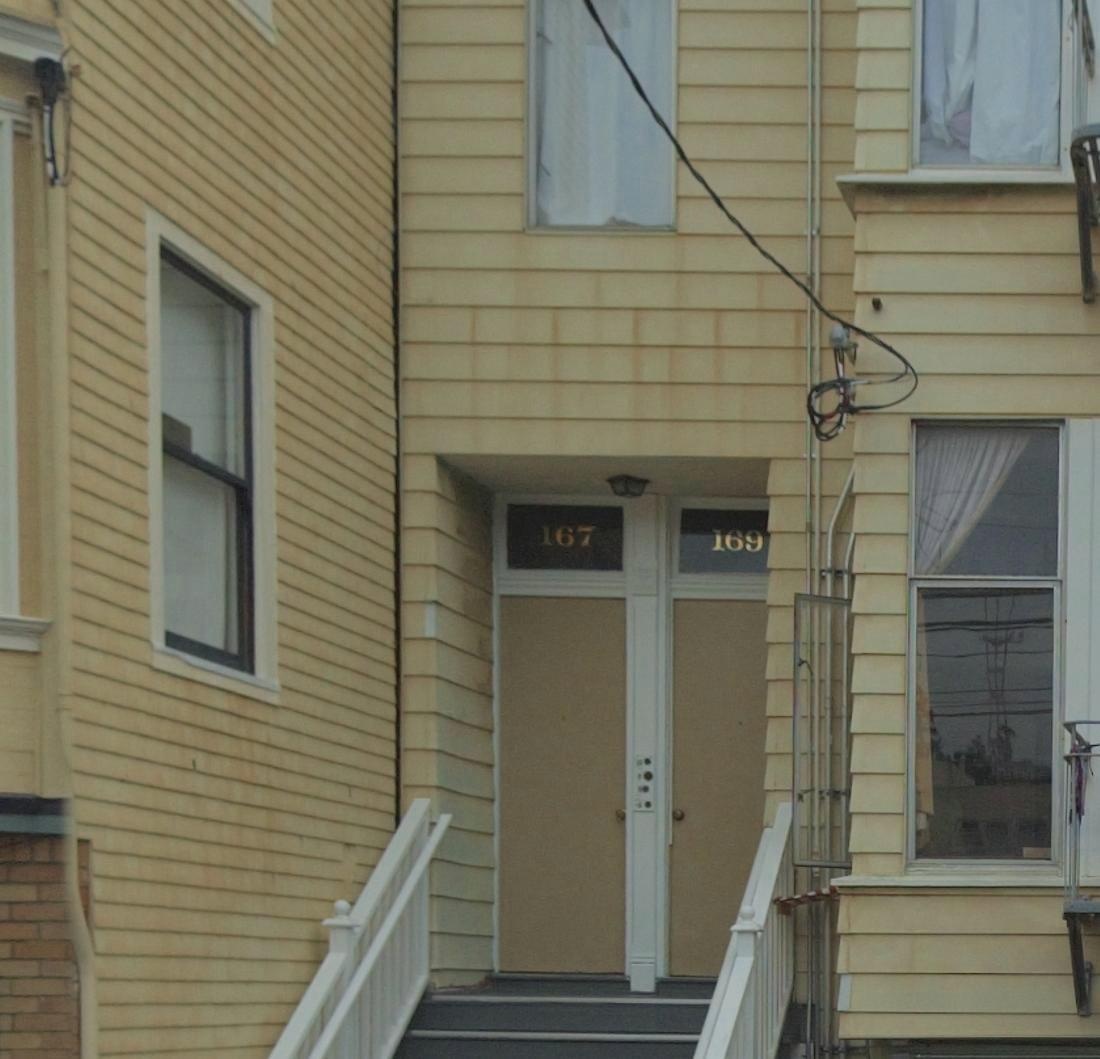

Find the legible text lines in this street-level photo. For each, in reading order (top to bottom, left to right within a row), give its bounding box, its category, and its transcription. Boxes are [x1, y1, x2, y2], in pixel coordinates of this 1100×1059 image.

[537, 523, 599, 549] StreetNumber: 167
[710, 527, 764, 554] StreetNumber: 169